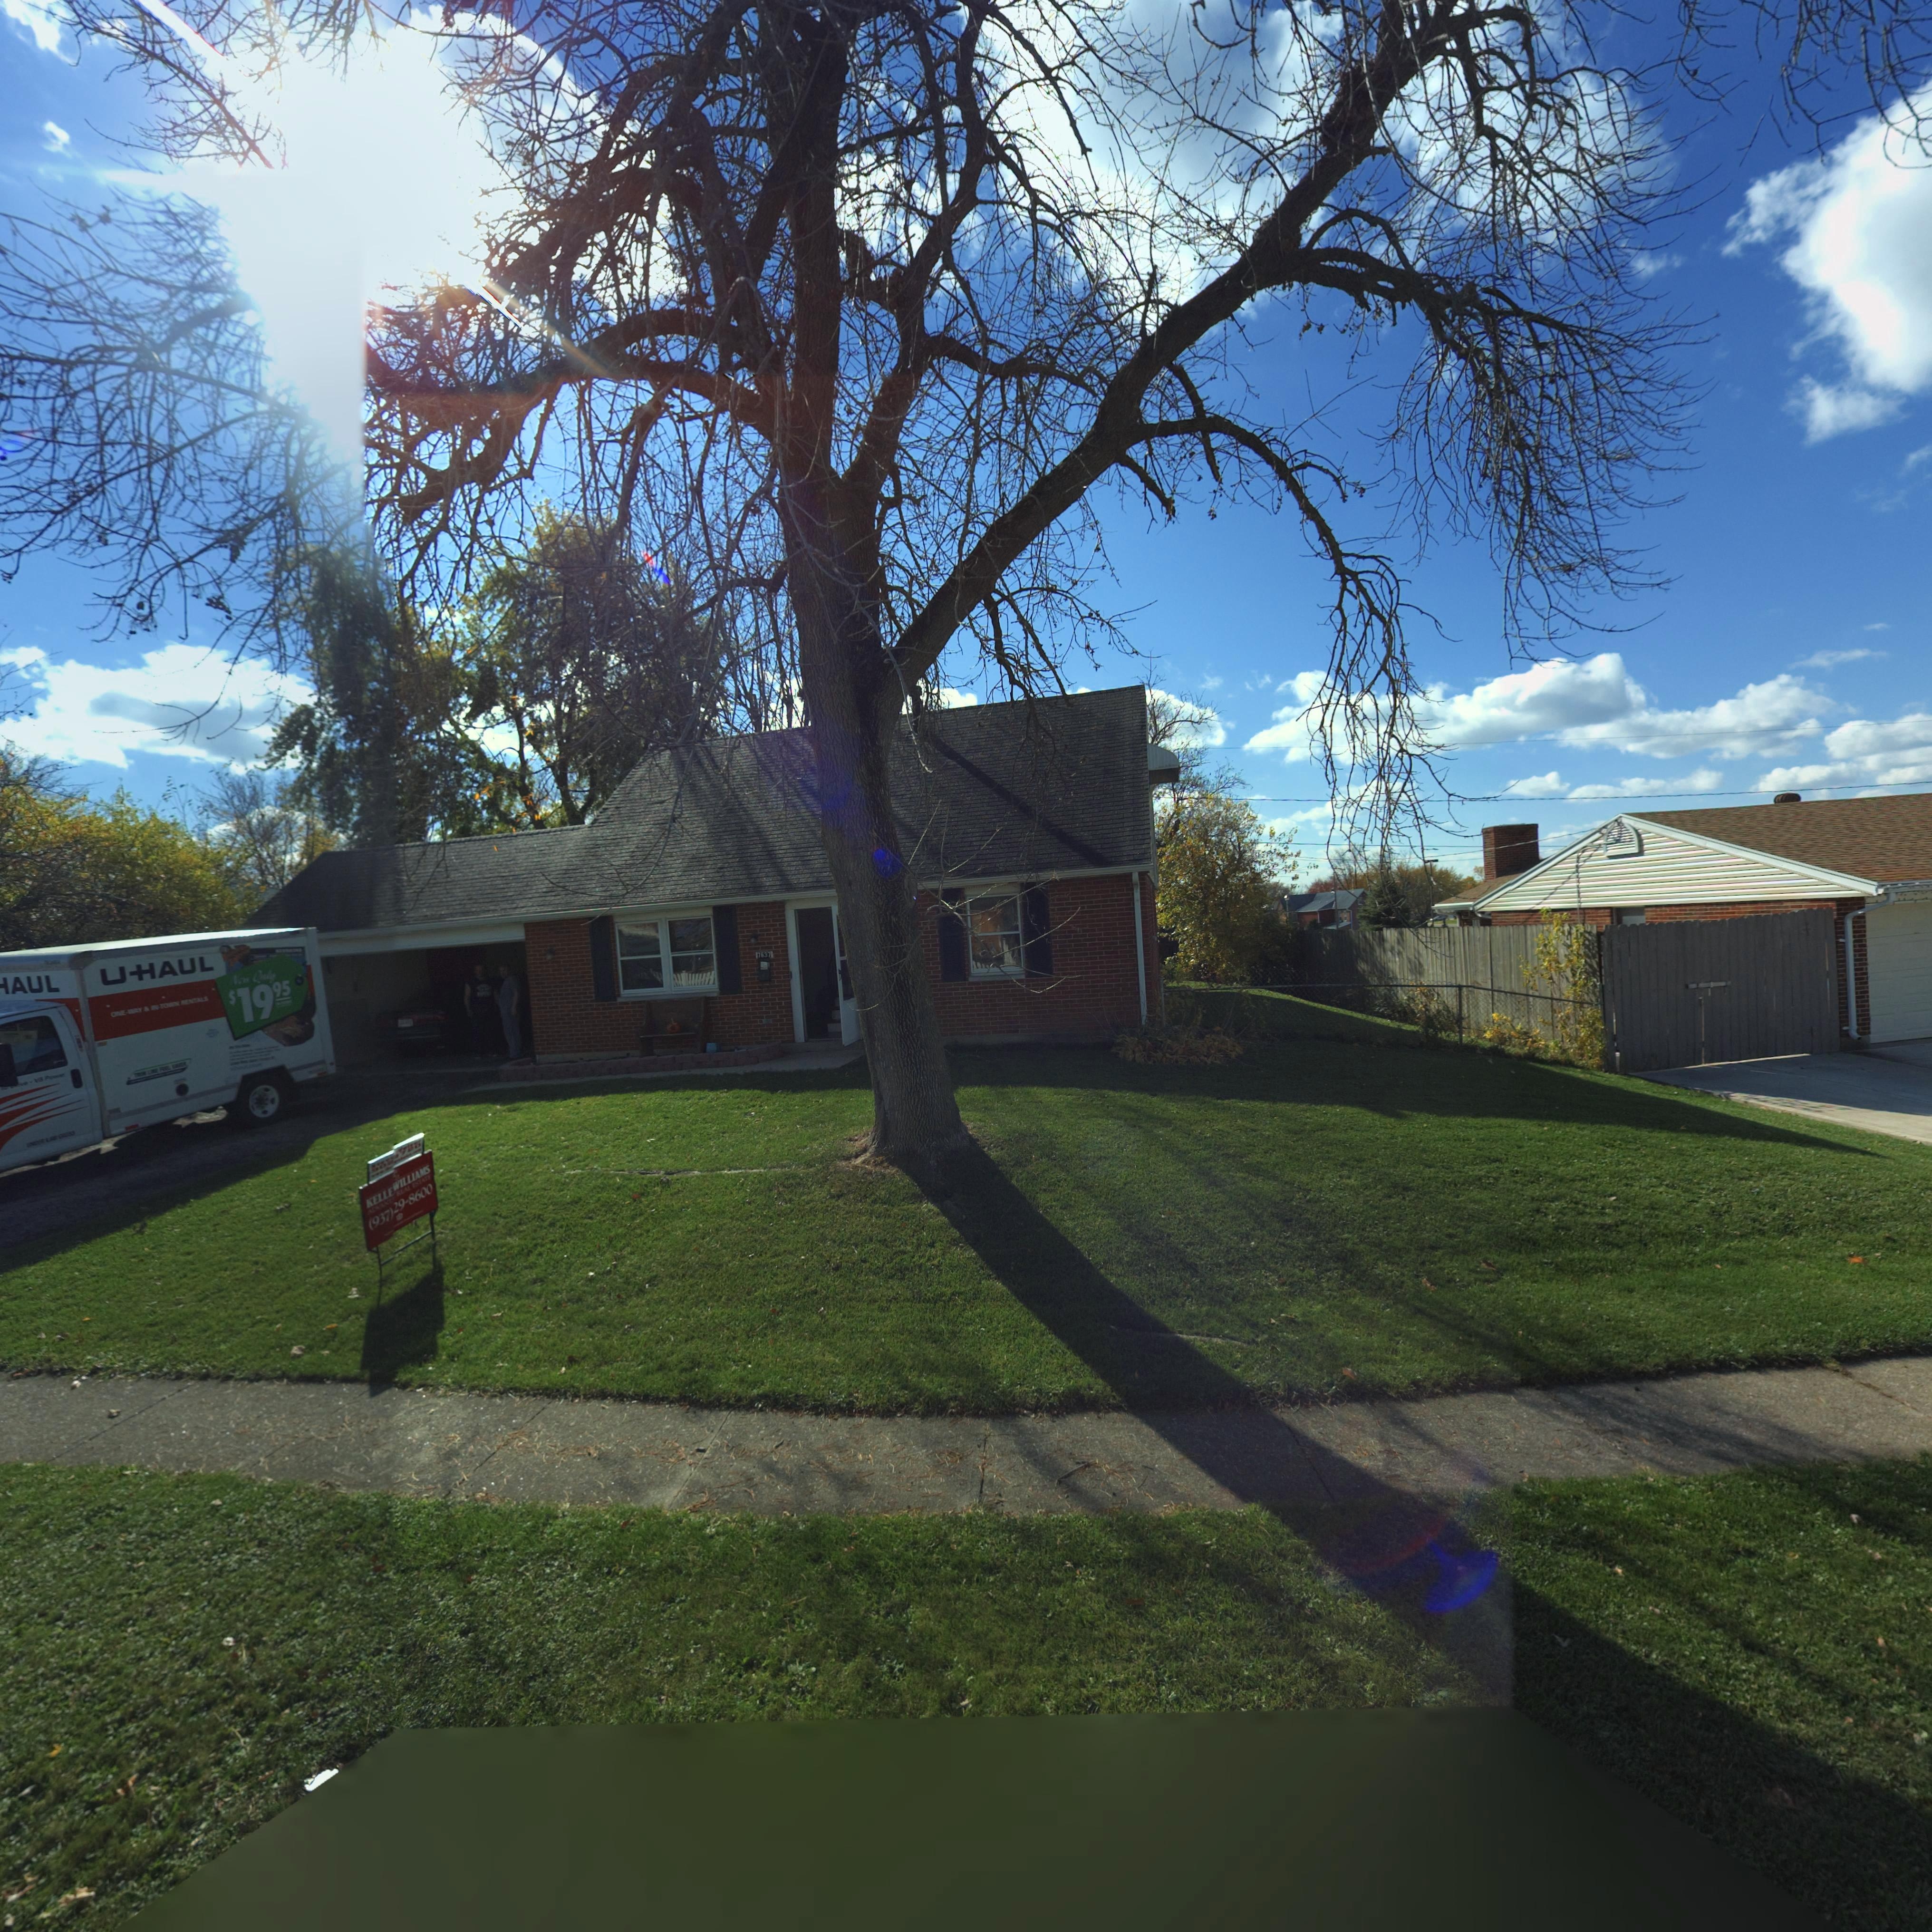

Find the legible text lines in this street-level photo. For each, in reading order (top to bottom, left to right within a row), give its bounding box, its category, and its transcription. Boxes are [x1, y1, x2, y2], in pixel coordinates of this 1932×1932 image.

[757, 951, 771, 958] StreetNumber: 7637